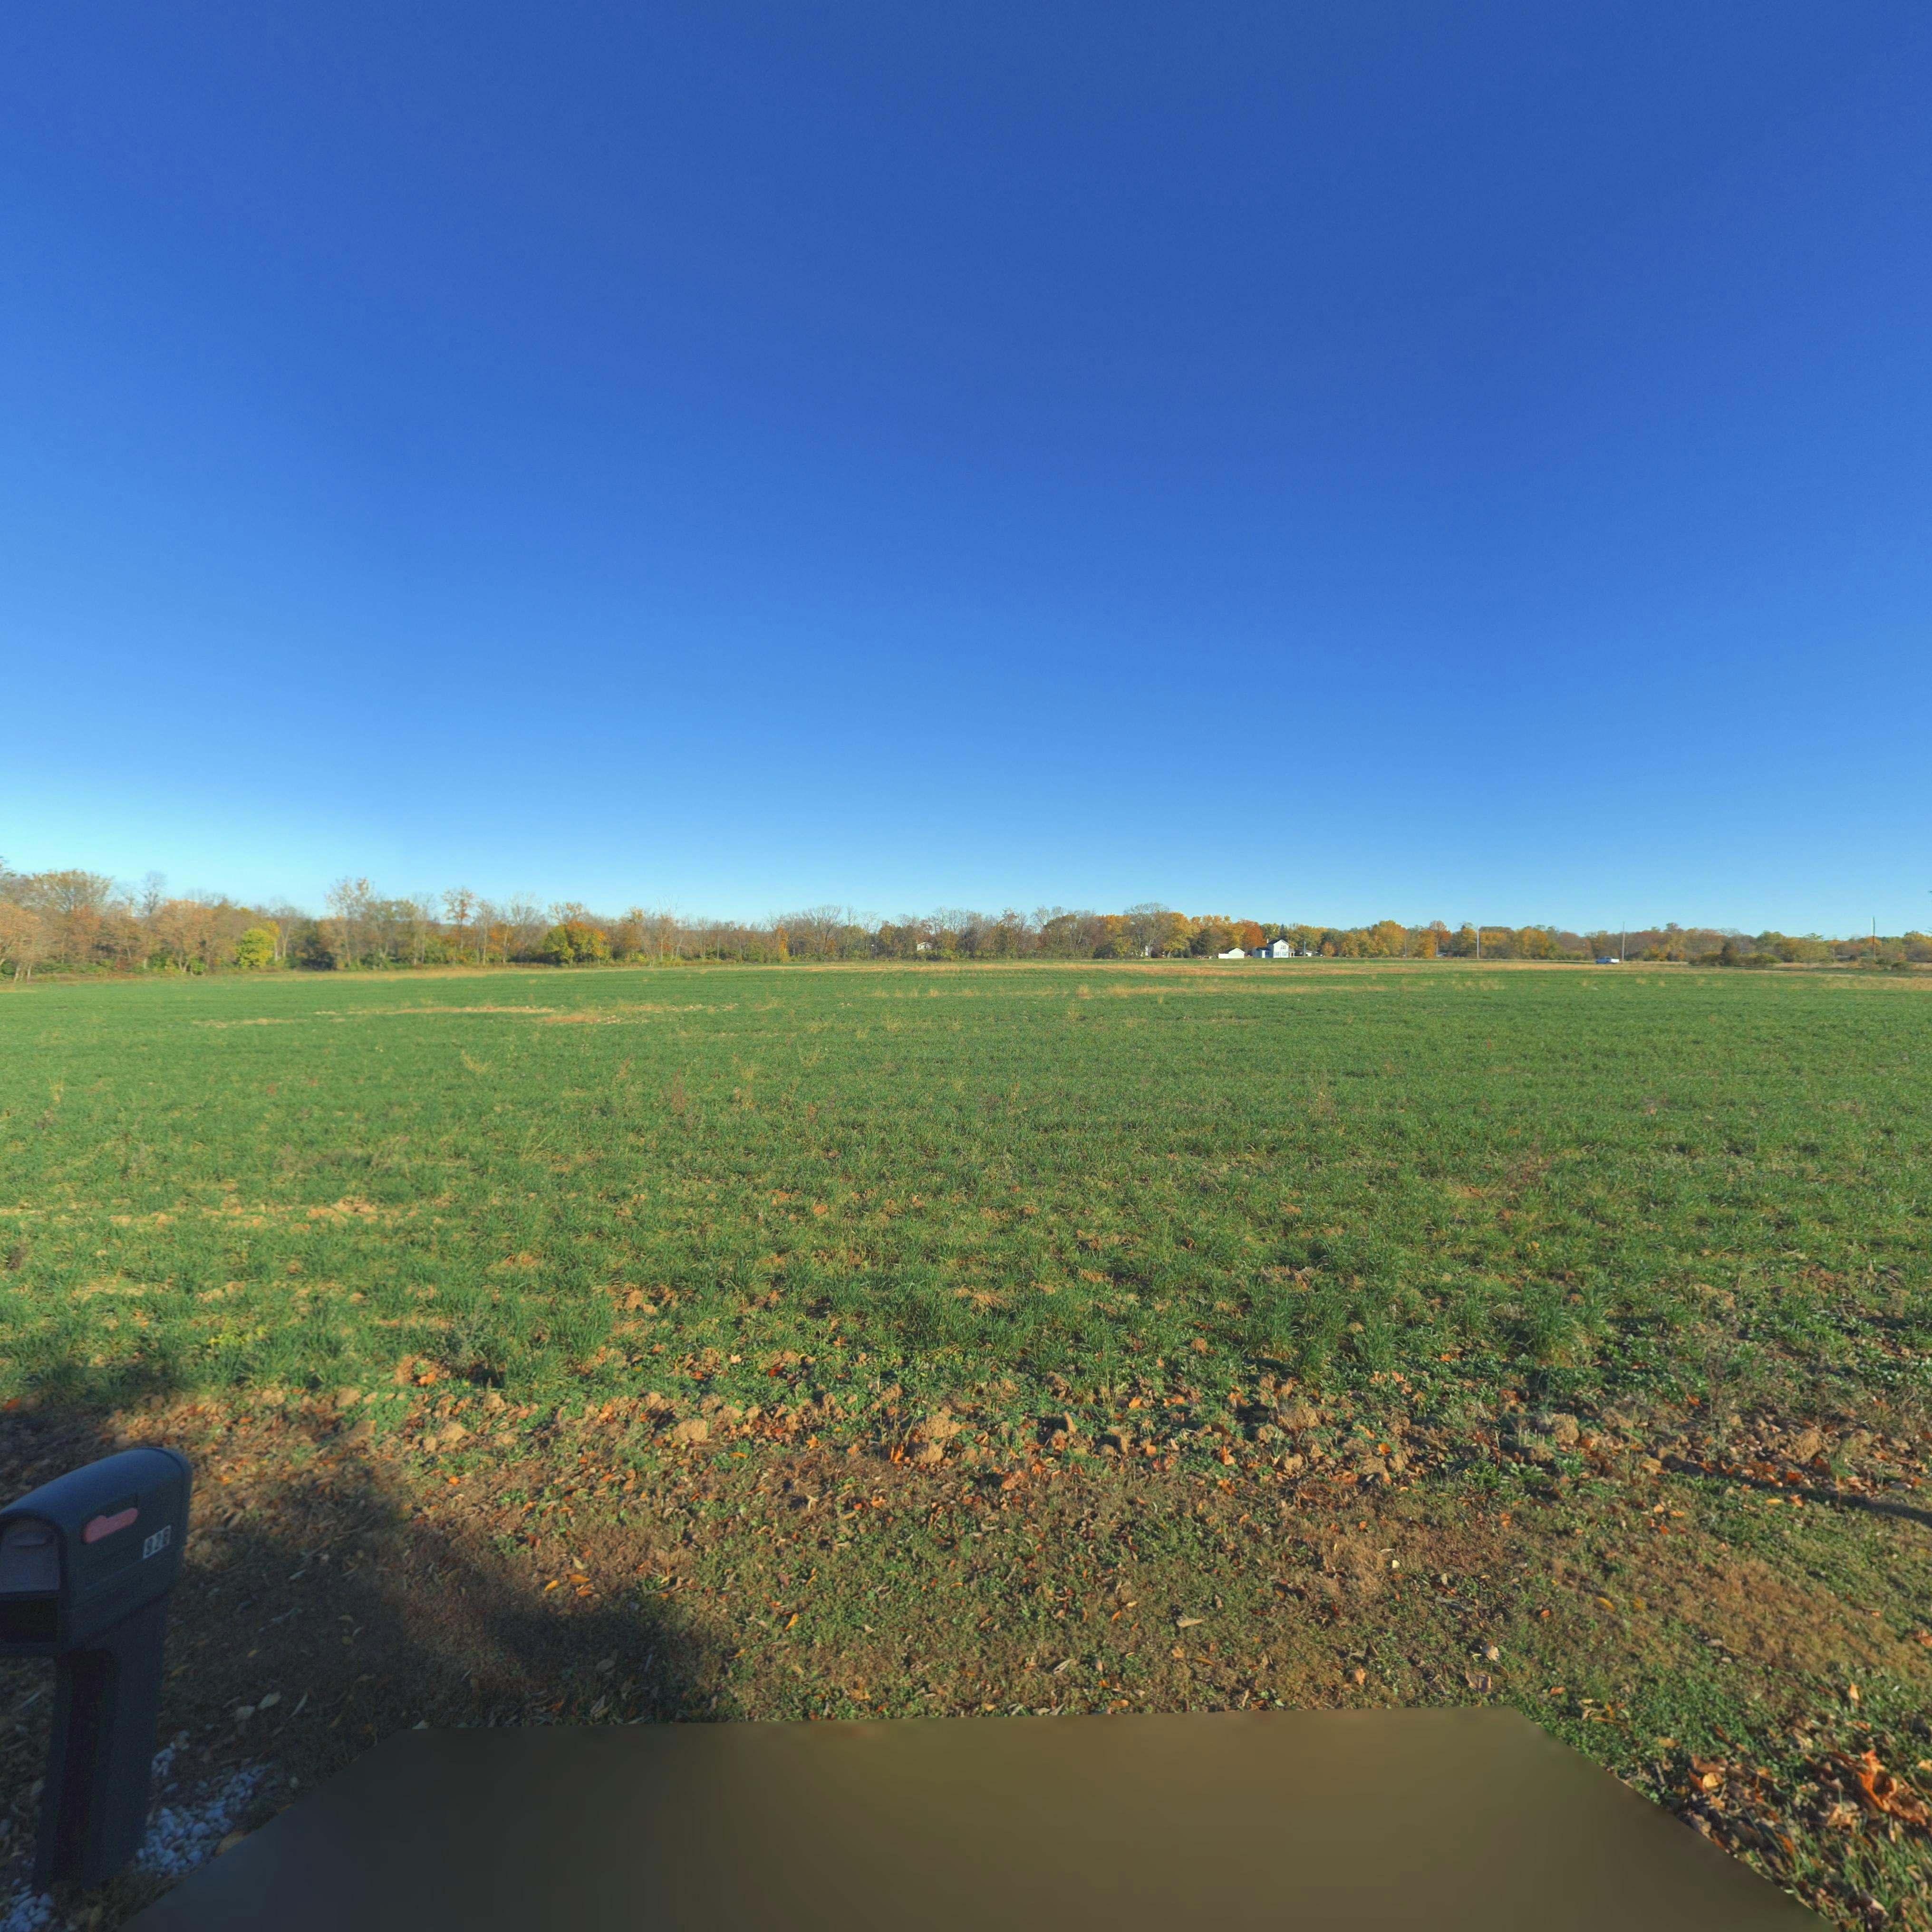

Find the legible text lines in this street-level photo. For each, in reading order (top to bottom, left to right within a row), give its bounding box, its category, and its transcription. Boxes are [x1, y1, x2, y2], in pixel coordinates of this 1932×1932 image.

[145, 1527, 169, 1556] StreetNumber: 926